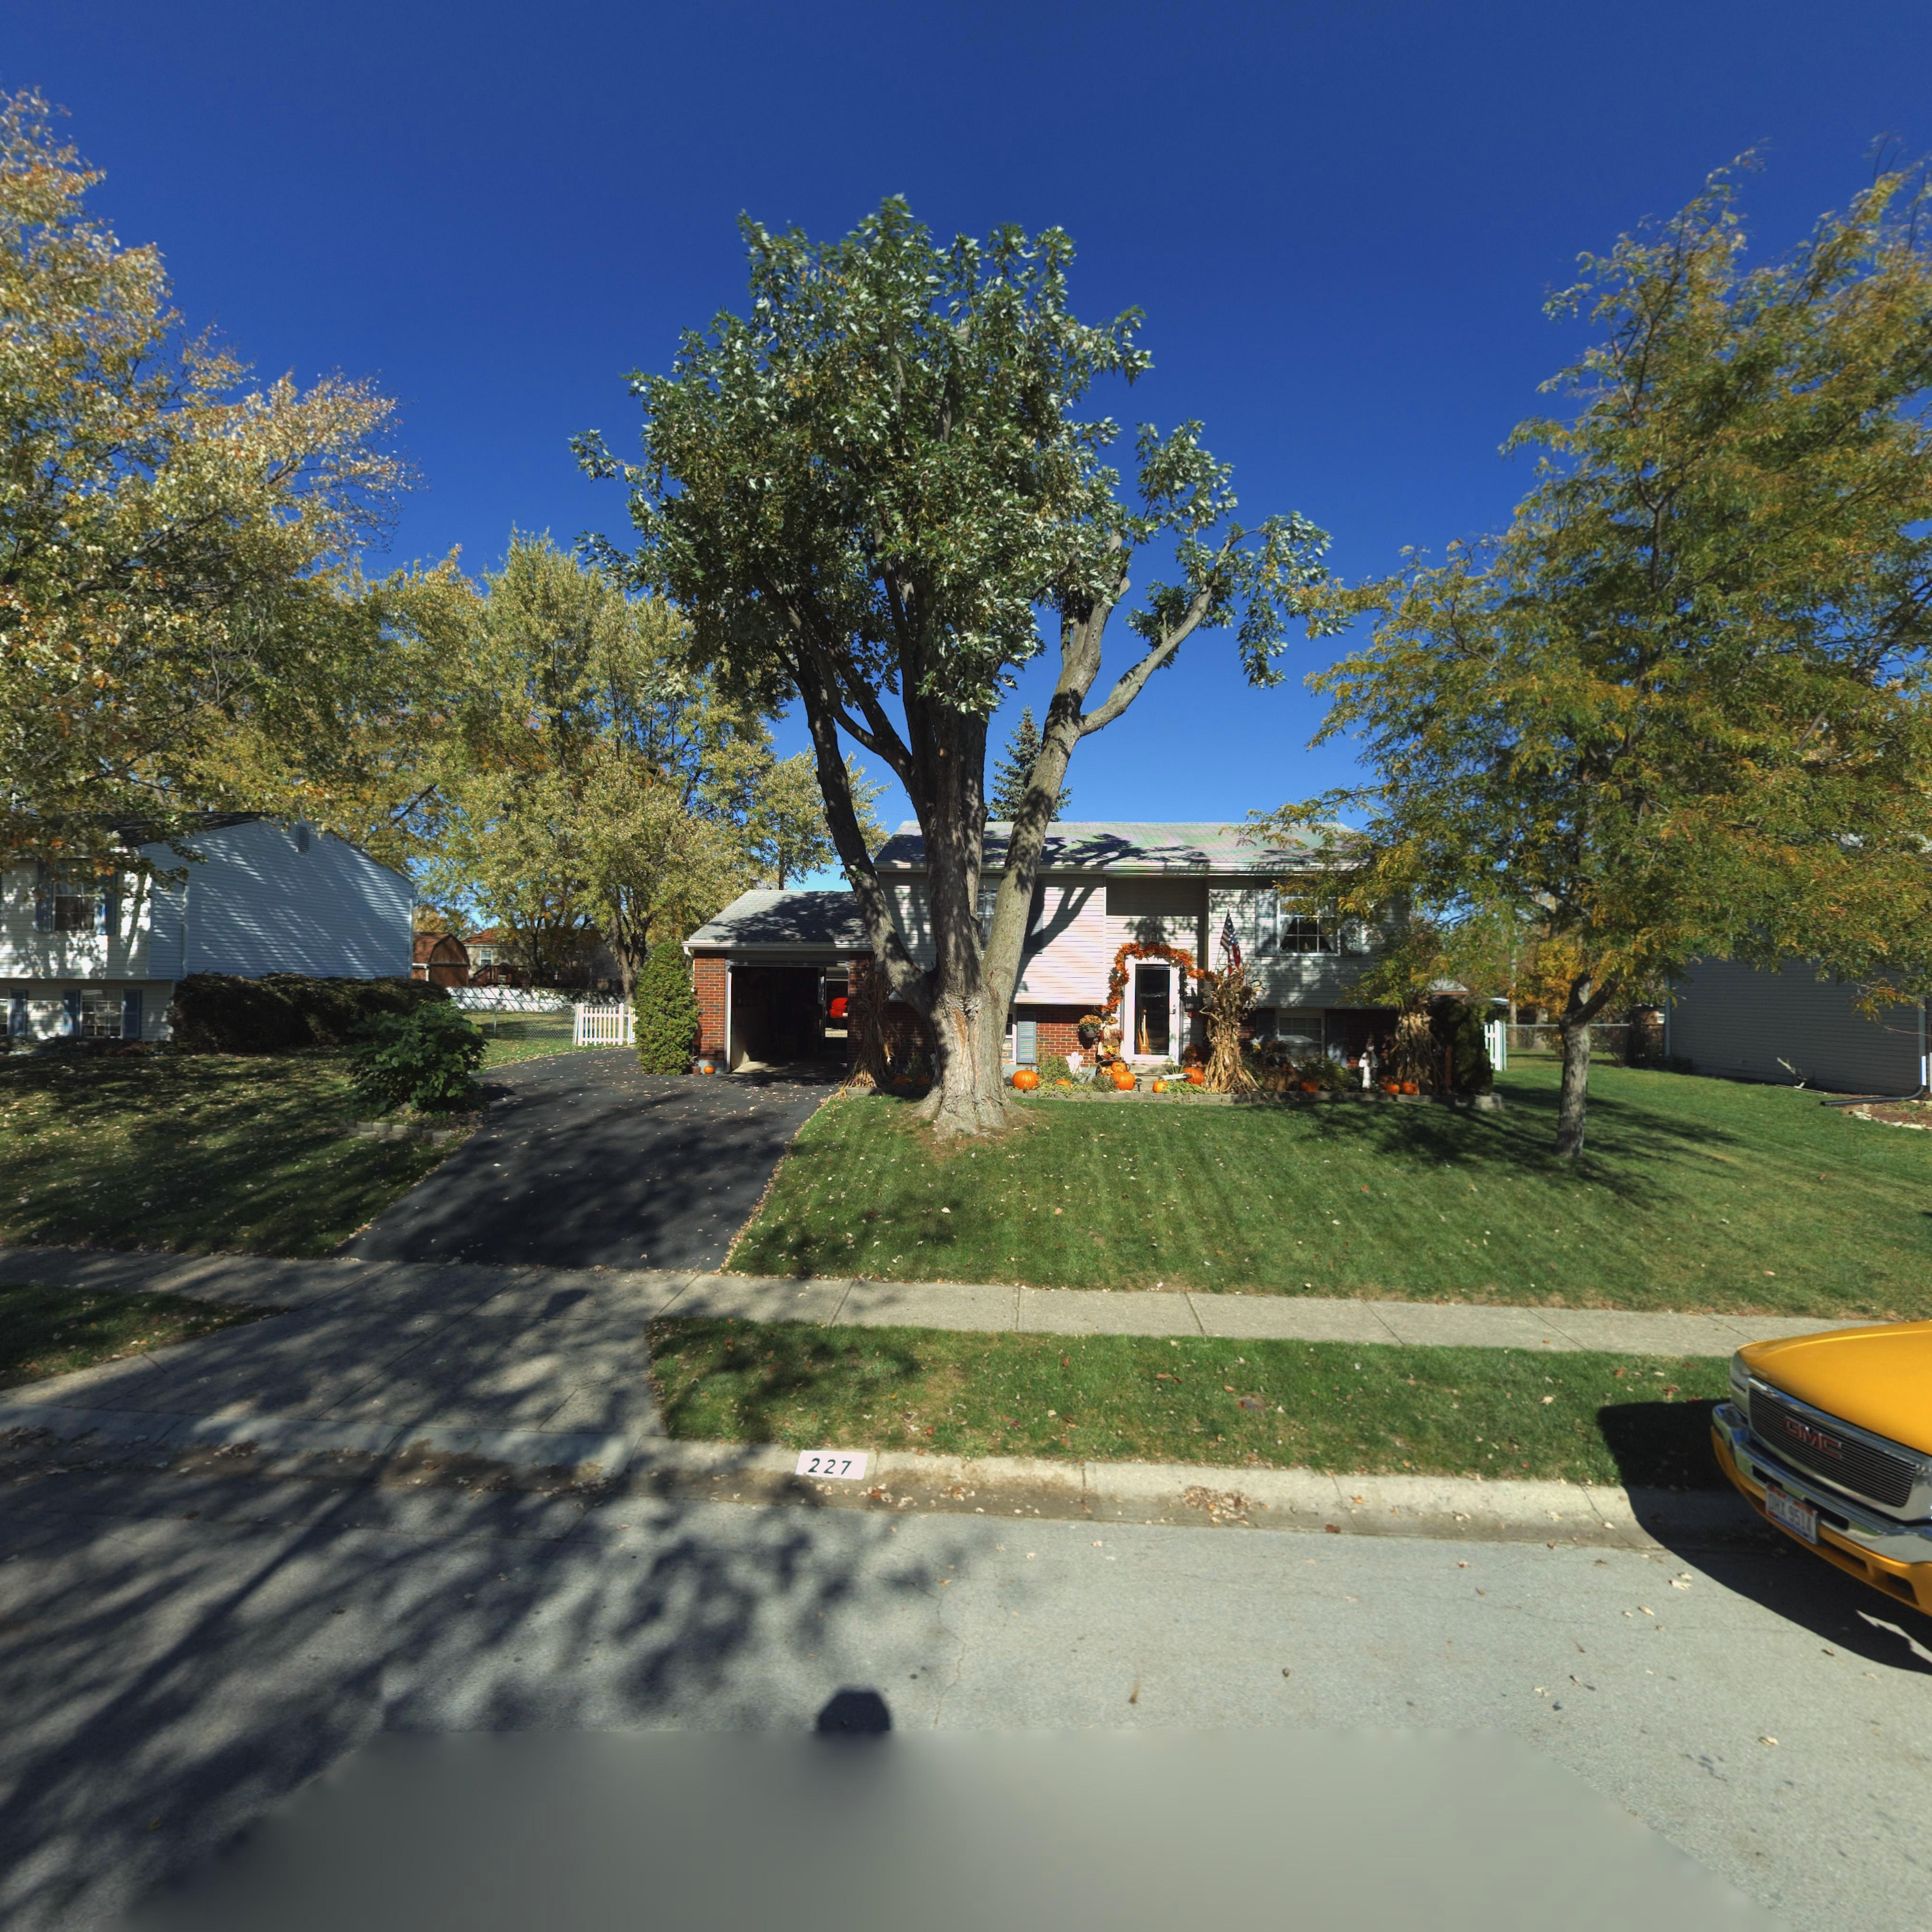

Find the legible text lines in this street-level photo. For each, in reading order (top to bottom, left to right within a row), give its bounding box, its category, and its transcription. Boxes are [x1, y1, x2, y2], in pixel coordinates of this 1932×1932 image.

[806, 1457, 854, 1476] StreetNumber: 227